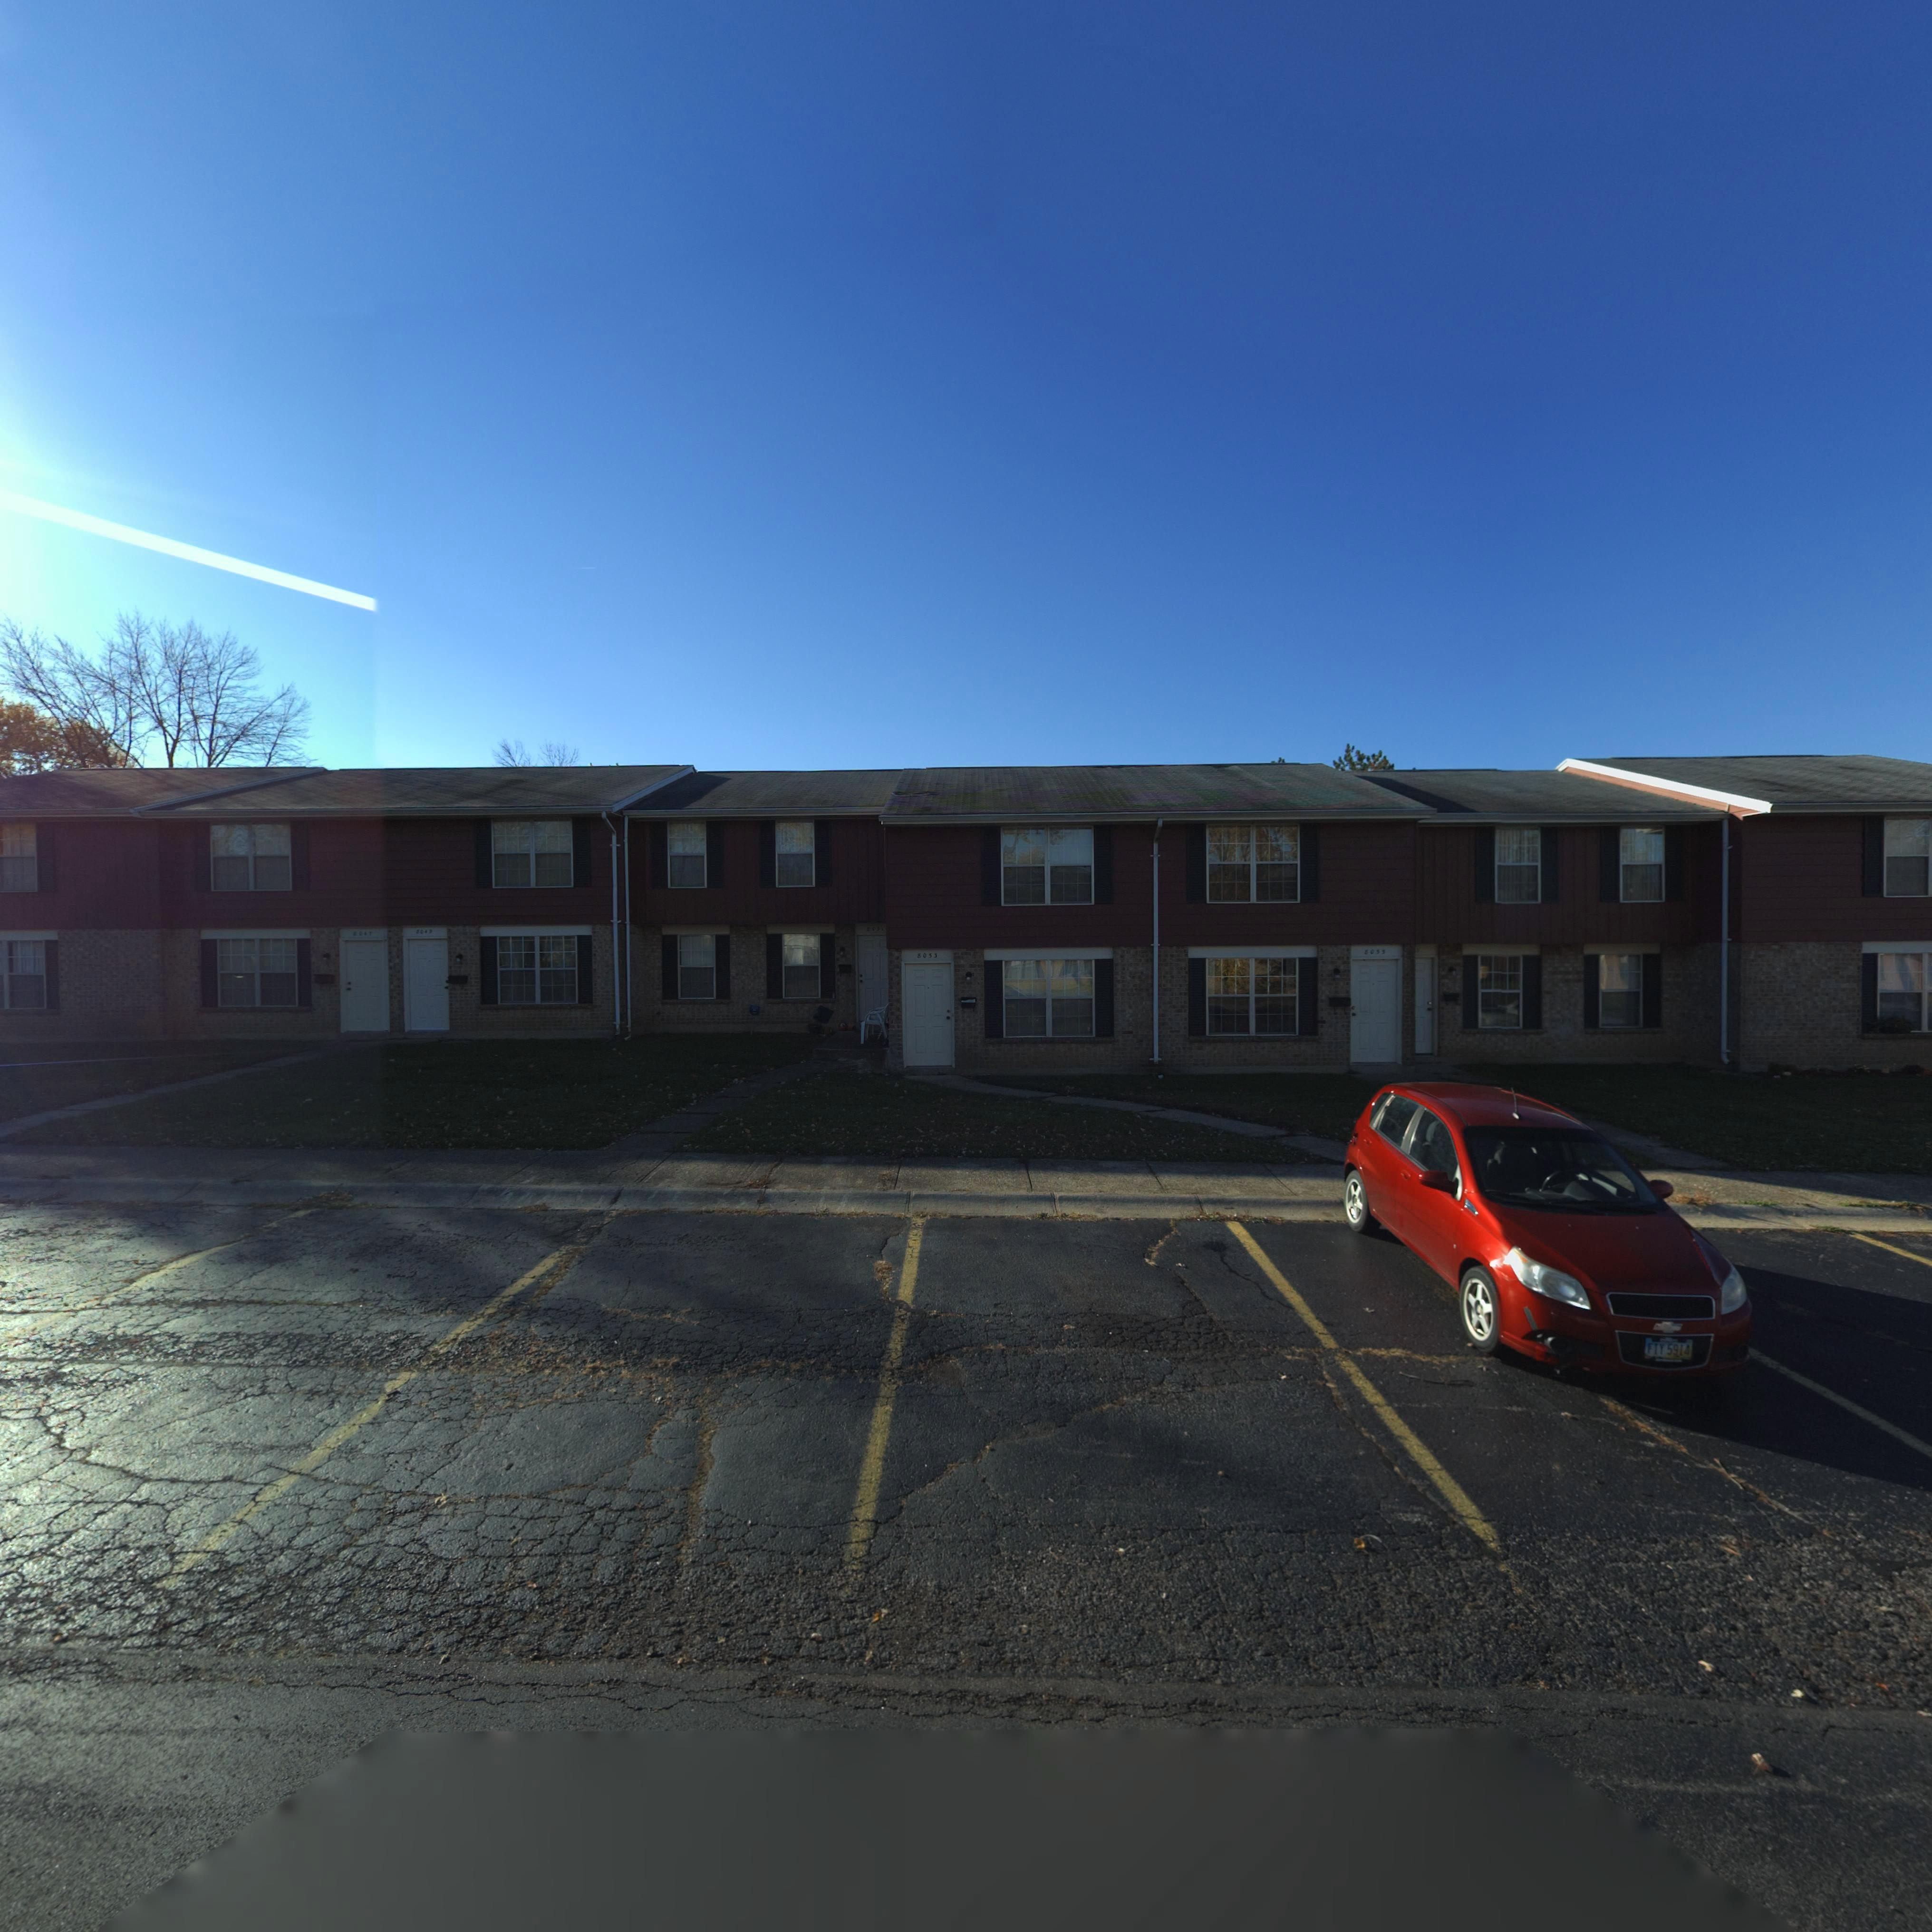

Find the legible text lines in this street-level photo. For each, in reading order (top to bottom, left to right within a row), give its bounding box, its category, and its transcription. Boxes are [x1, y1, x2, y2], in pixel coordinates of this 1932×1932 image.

[351, 930, 374, 938] StreetNumber: *047
[415, 927, 435, 936] StreetNumber: *0*9
[866, 925, 886, 933] StreetNumber: *0**
[917, 952, 939, 959] StreetNumber: 805*
[1362, 948, 1387, 956] StreetNumber: 805*
[1644, 1341, 1692, 1360] None: FIY 5914